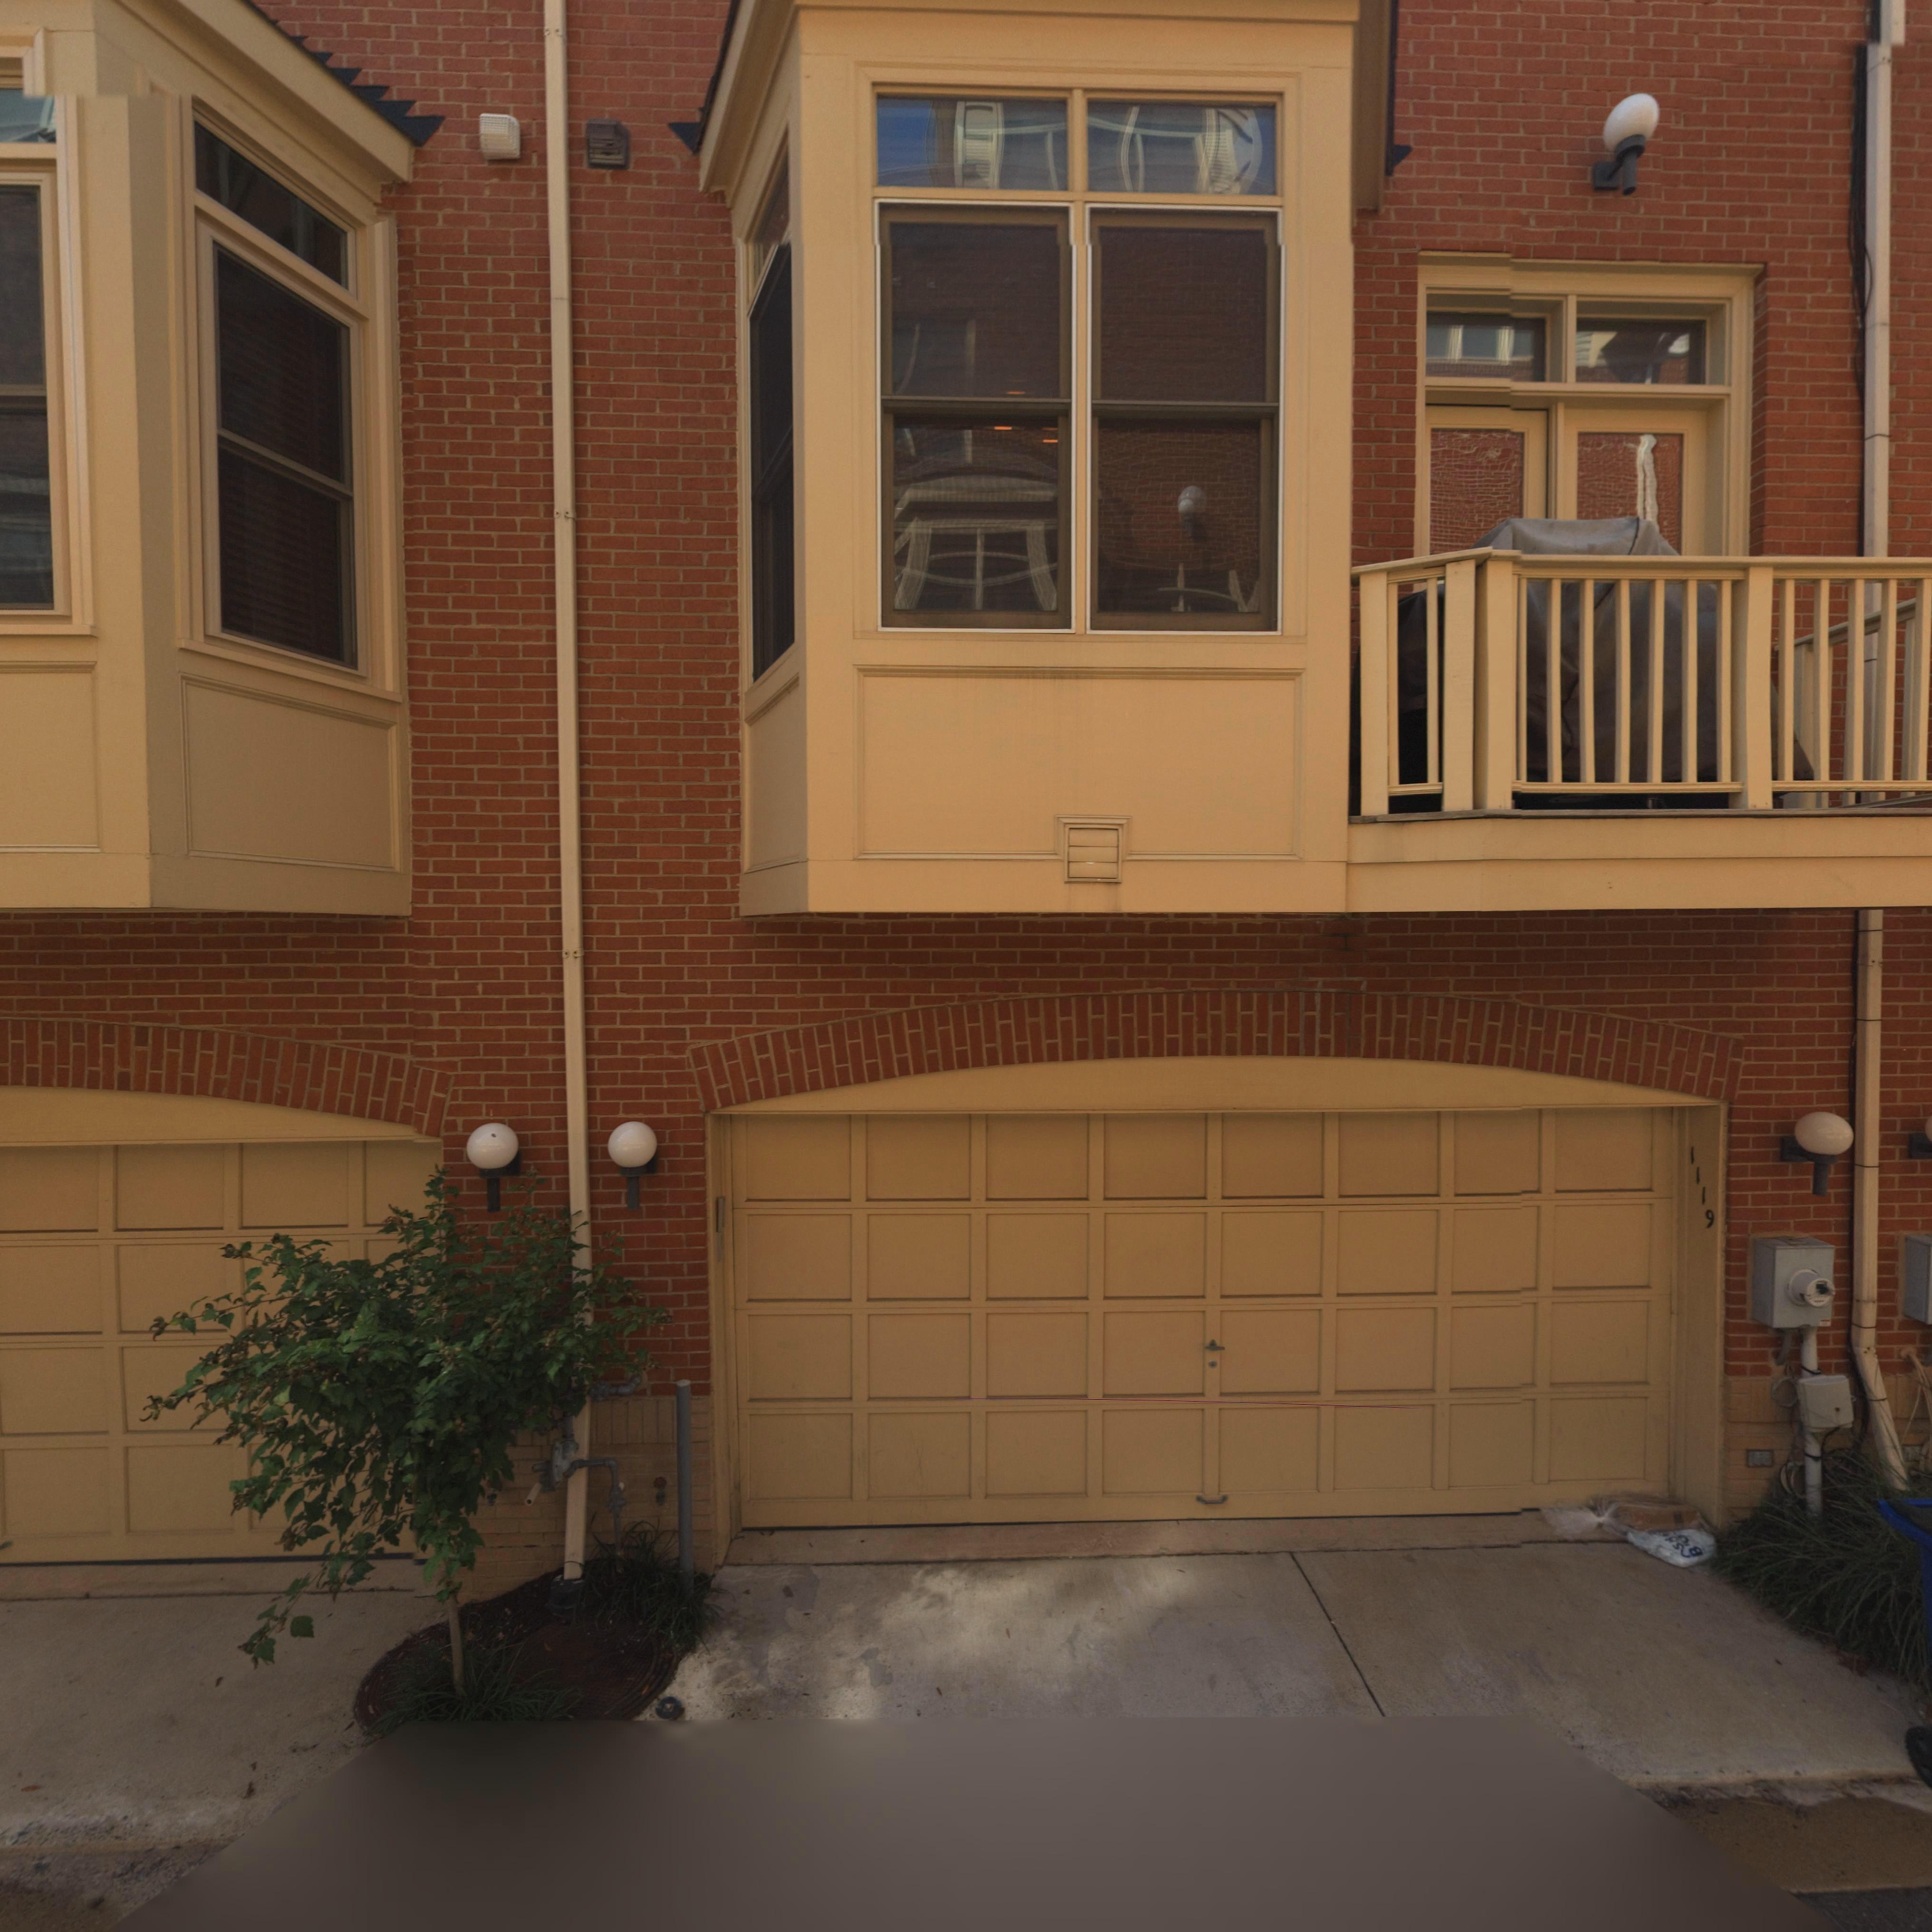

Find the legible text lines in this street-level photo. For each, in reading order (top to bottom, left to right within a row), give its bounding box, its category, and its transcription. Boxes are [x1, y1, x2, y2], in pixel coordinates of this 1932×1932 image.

[1688, 1144, 1714, 1232] StreetNumber: 1119
[1688, 1546, 1705, 1556] None: B